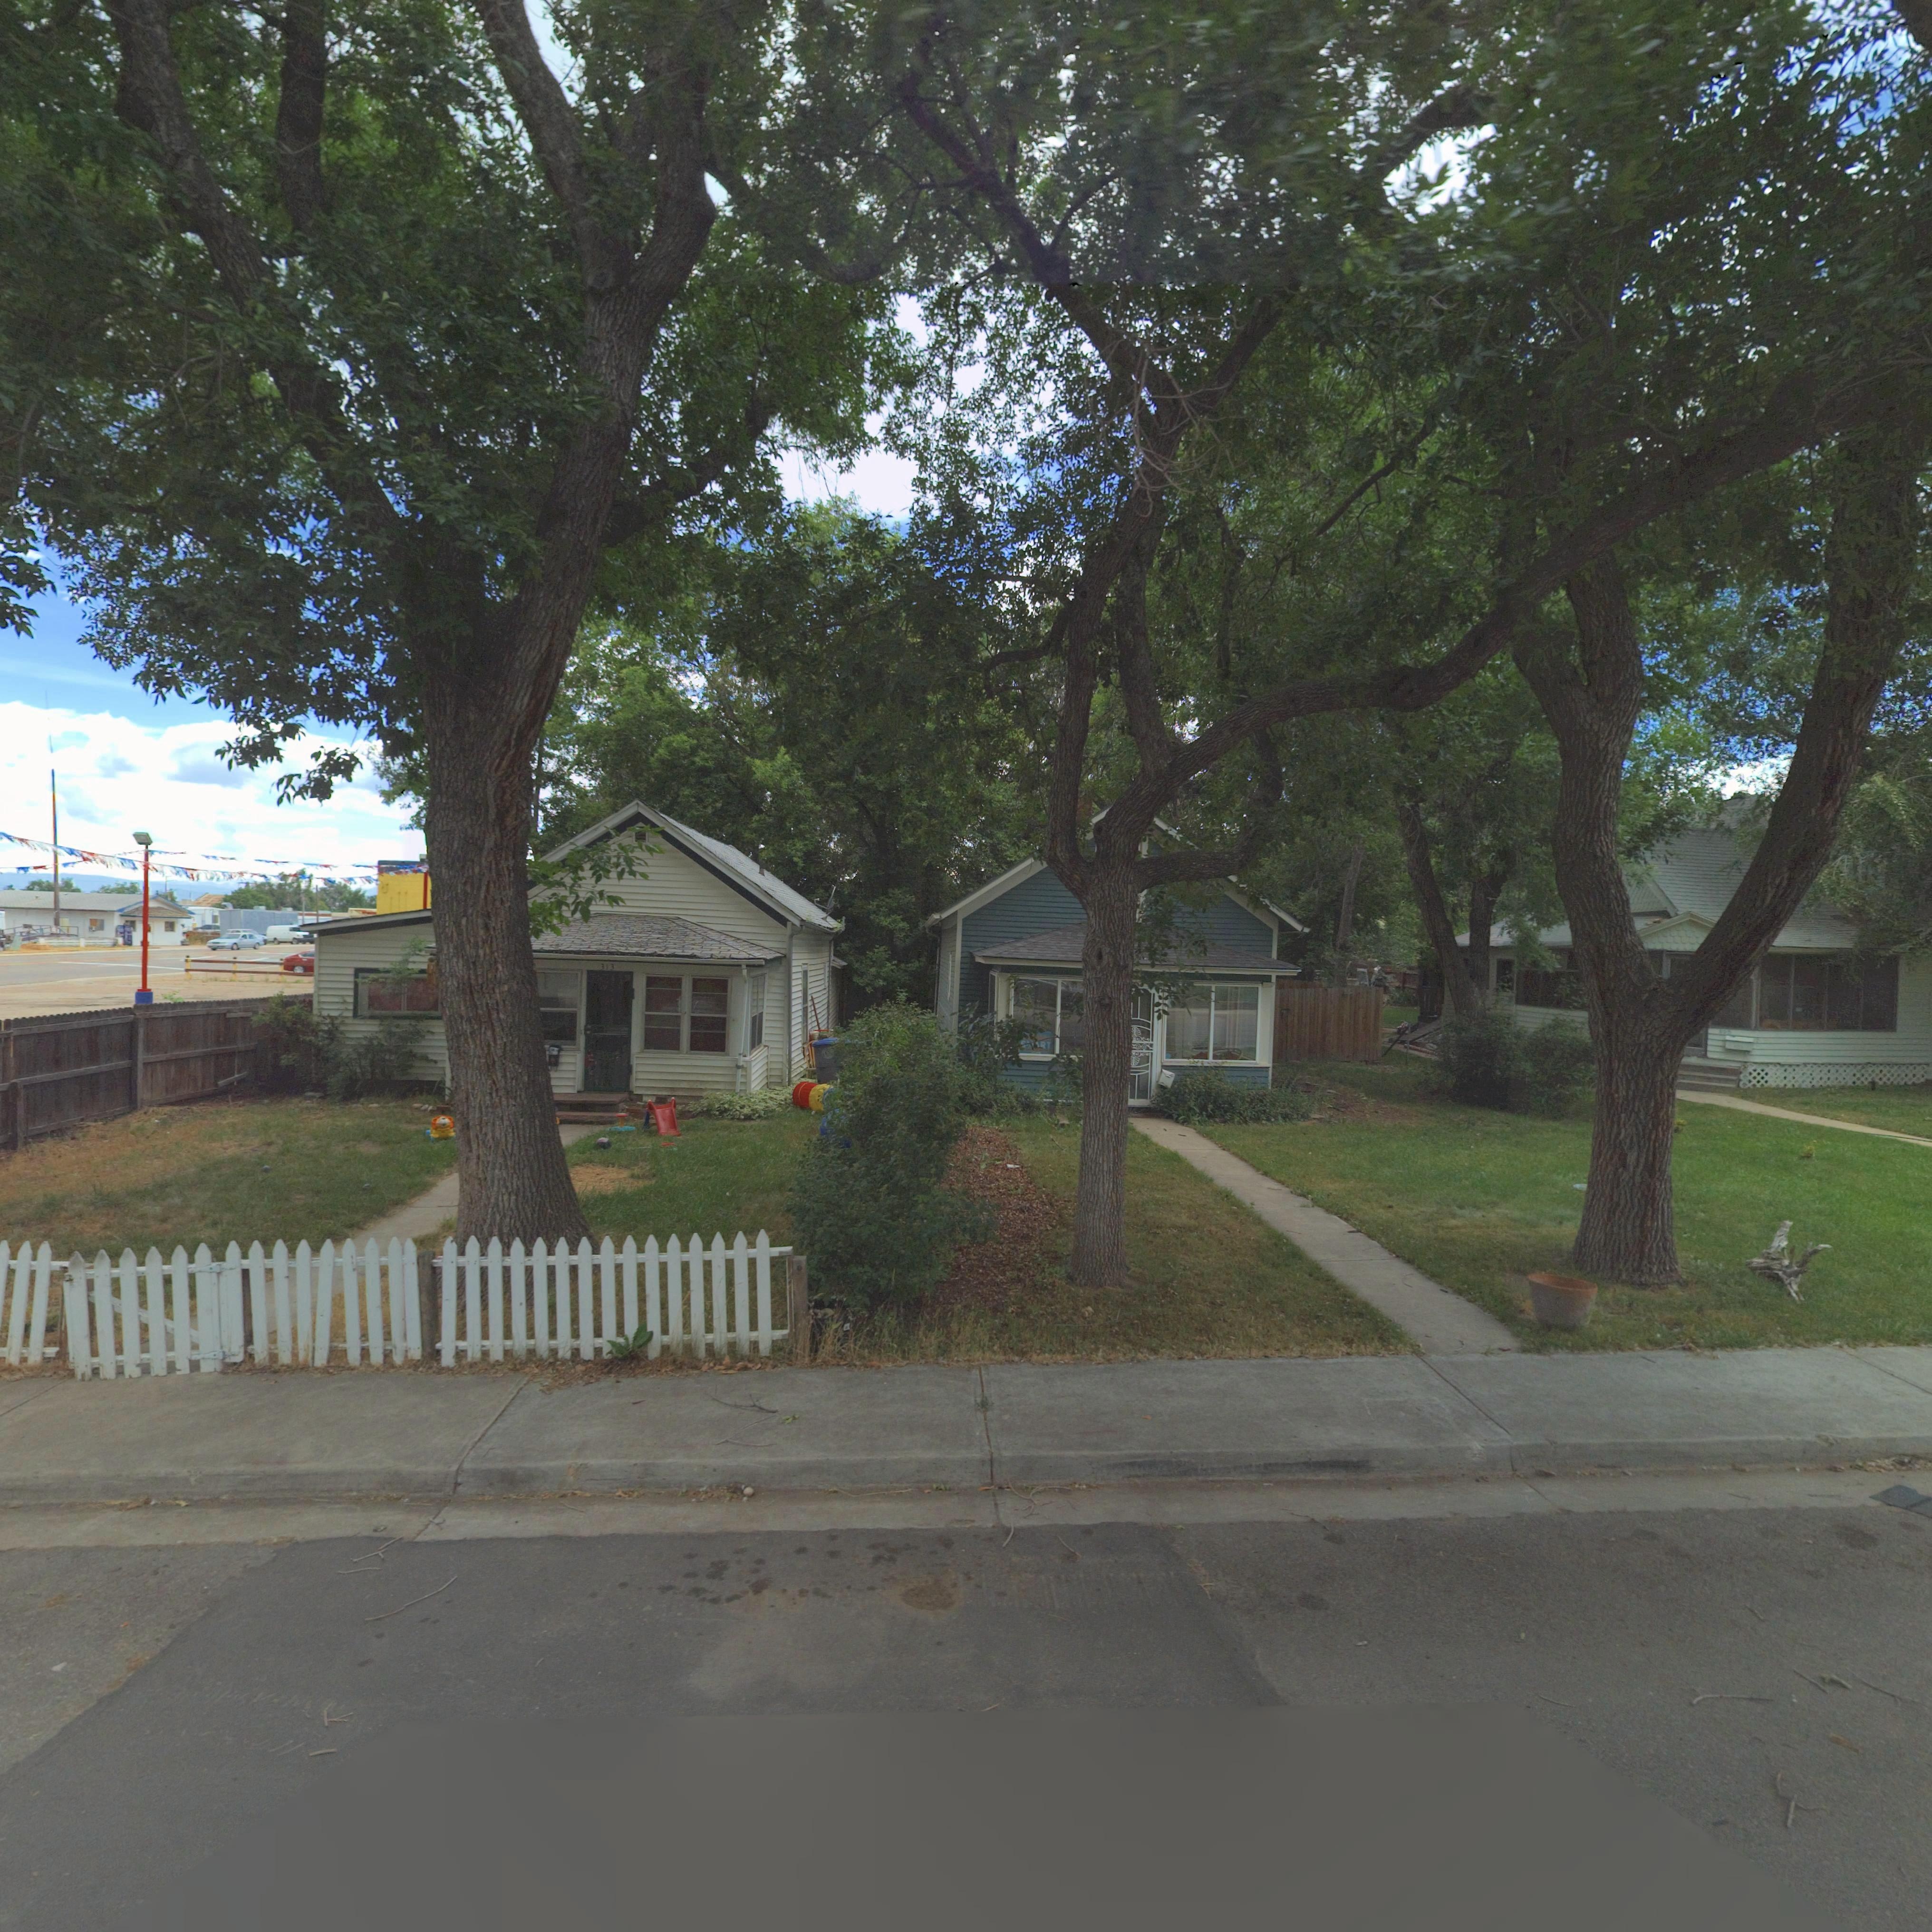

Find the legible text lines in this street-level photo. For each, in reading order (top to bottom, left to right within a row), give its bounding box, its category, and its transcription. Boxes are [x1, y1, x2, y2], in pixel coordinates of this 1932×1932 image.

[599, 962, 614, 971] StreetNumber: 313